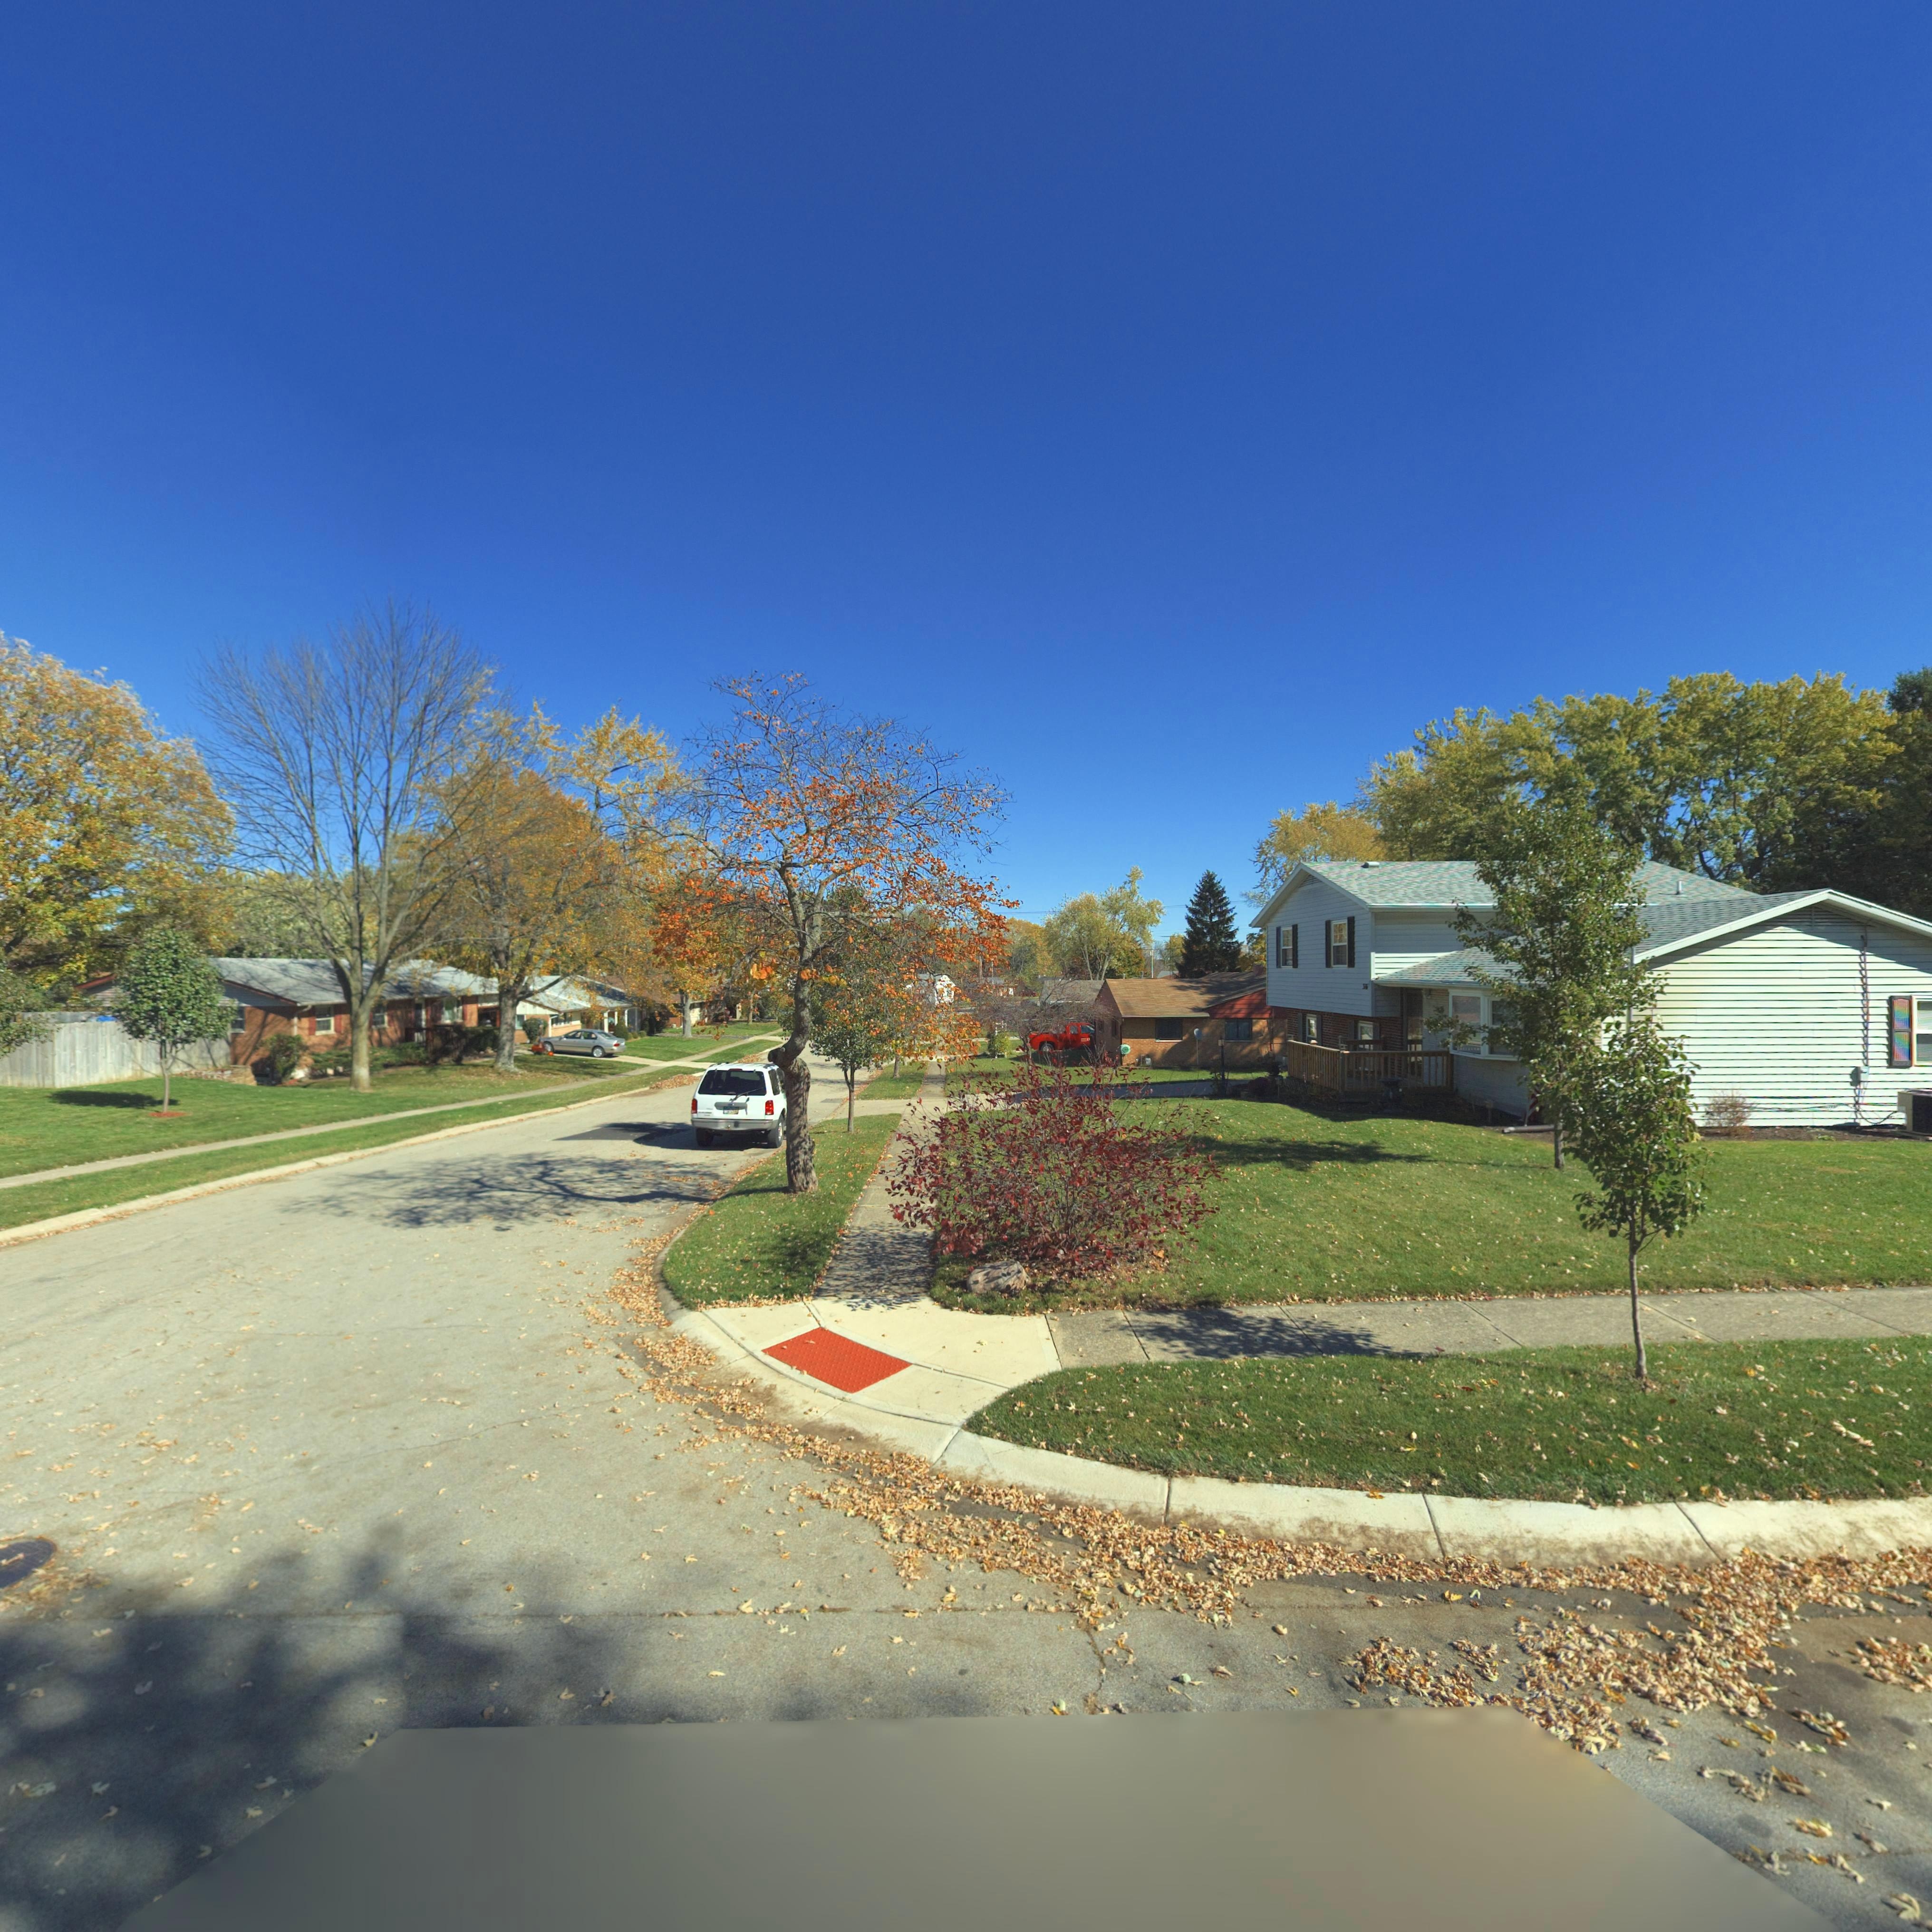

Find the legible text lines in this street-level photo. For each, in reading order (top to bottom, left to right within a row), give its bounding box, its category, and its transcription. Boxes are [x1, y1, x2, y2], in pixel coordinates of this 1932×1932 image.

[1361, 983, 1369, 990] StreetNumber: 3**